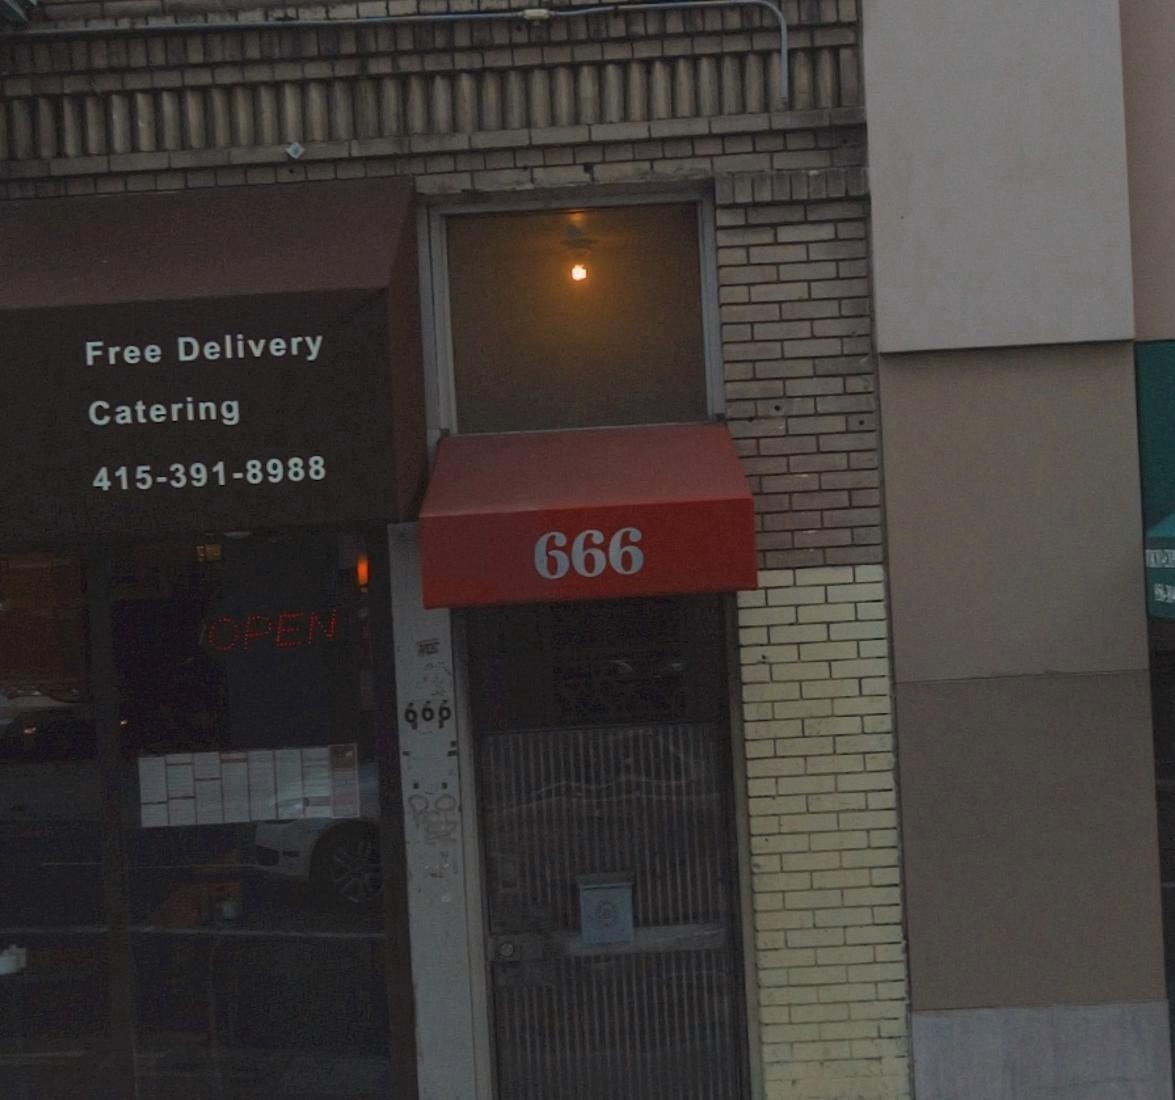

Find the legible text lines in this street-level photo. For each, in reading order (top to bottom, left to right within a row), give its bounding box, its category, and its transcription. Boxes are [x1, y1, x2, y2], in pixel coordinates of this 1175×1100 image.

[83, 332, 324, 368] None: Free Delivery
[86, 394, 242, 428] None: Catering
[87, 452, 330, 494] None: 415-391-8988
[529, 525, 646, 583] StreetNumber: 666
[204, 605, 339, 654] None: OPEN
[402, 697, 455, 727] StreetNumber: 666